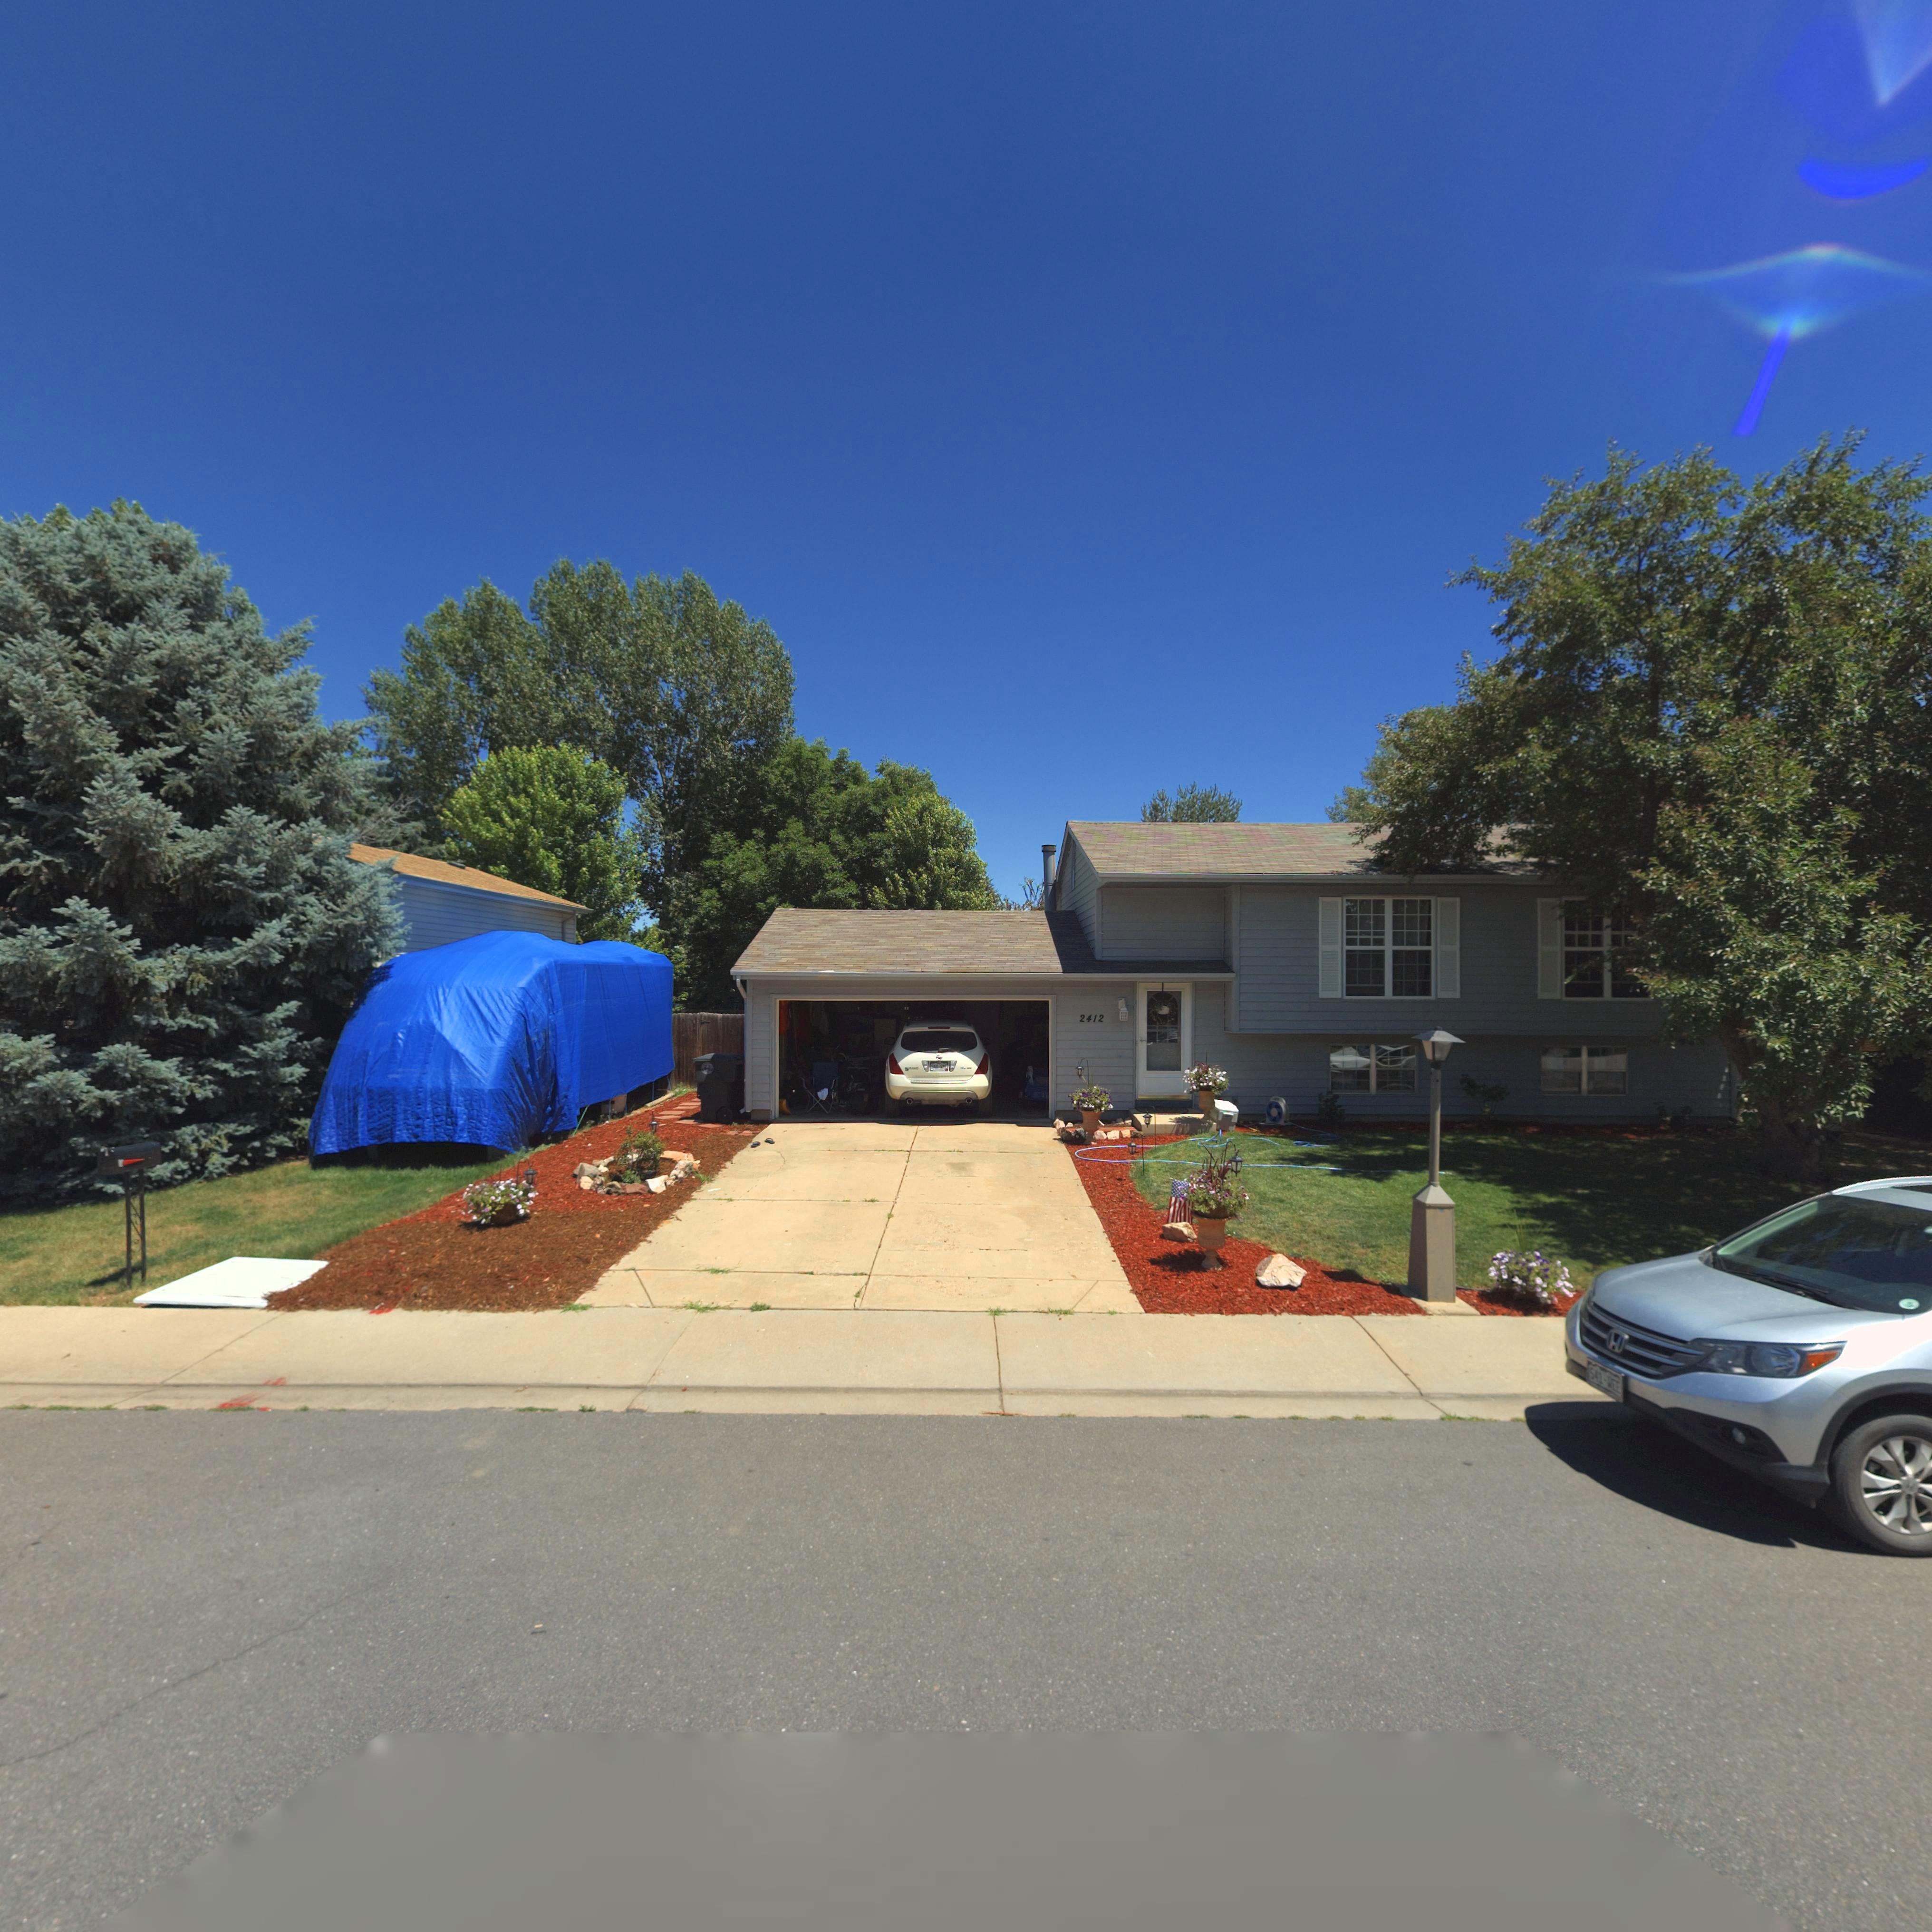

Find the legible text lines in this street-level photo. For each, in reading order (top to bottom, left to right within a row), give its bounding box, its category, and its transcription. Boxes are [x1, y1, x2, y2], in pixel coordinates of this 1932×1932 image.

[1080, 1014, 1104, 1023] StreetNumber: 2412